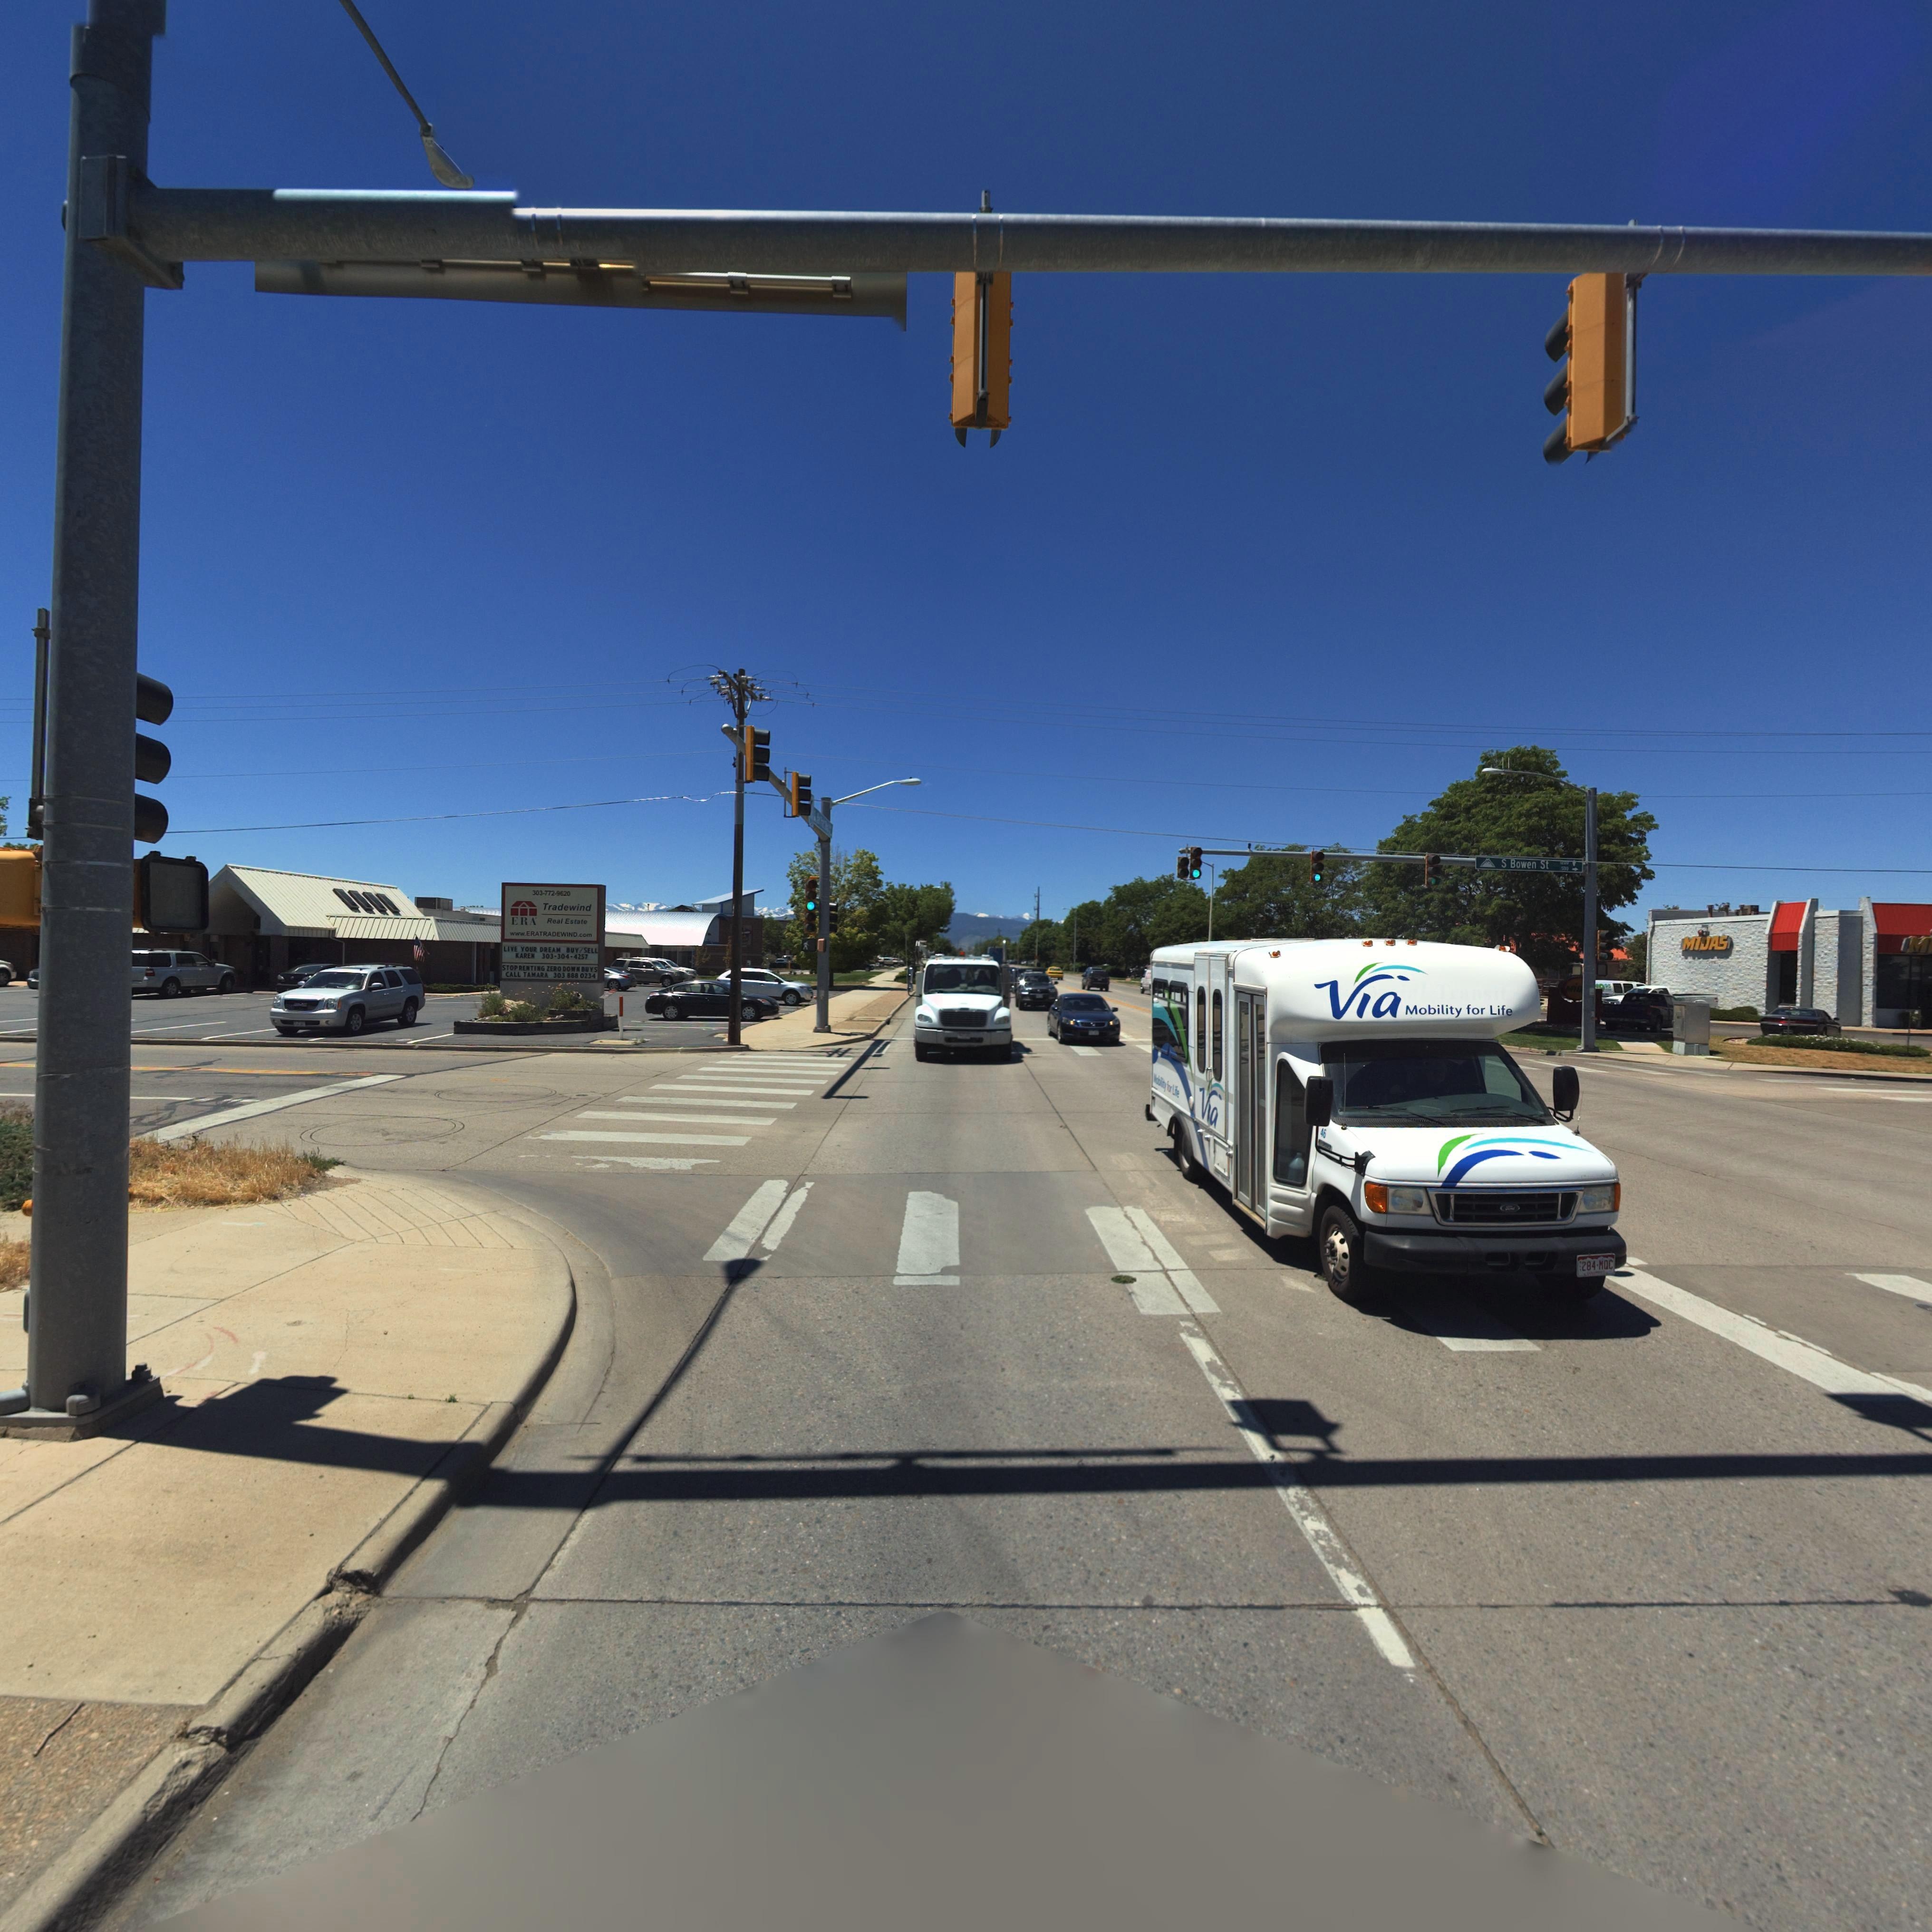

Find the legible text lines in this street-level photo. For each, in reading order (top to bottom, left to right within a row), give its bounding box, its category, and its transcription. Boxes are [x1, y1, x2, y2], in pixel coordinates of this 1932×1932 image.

[1501, 858, 1549, 869] StreetName: S Bowen St
[1560, 866, 1578, 871] StreetNumberRange: 500->
[541, 902, 592, 912] BusinessName: Tradewind
[511, 917, 537, 926] BusinessName: ERA
[546, 918, 588, 925] BusinessName: Real Estate
[1681, 929, 1730, 951] BusinessName: MiDAS
[1904, 936, 1931, 953] BusinessName: M